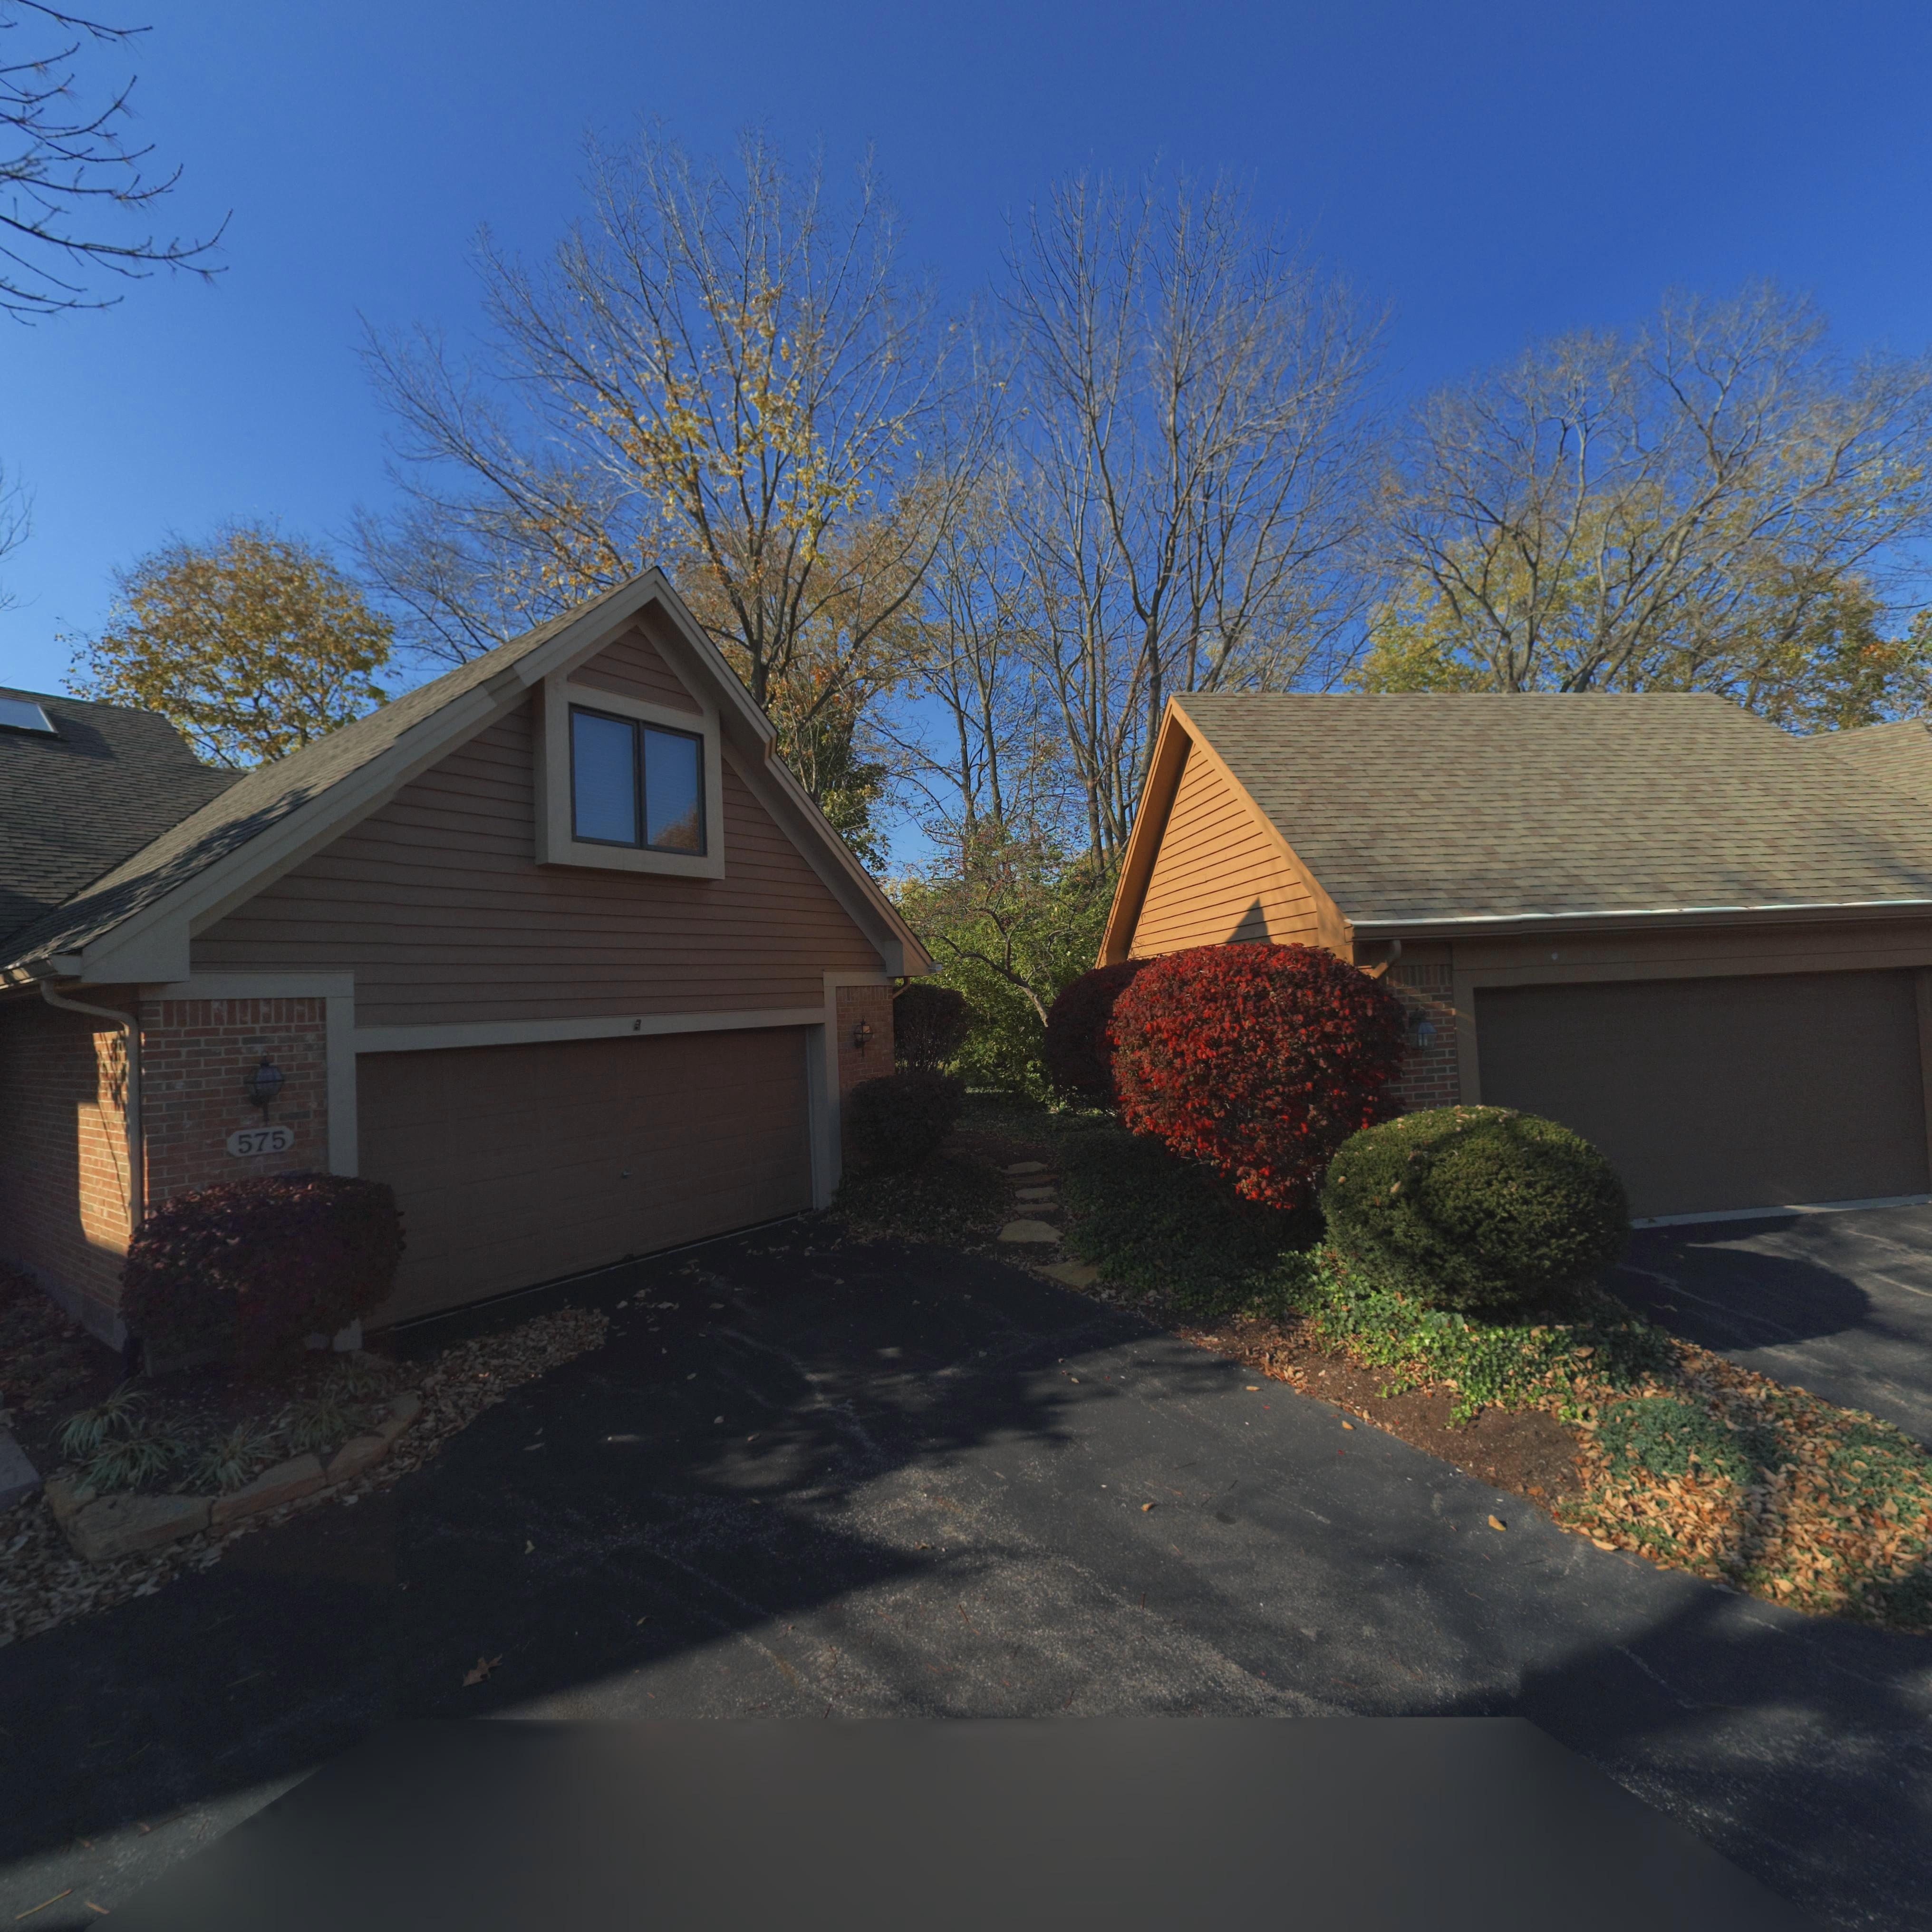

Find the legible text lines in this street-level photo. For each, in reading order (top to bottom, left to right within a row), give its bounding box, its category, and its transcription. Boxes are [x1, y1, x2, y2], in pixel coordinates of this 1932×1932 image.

[236, 1128, 287, 1155] StreetNumber: 575